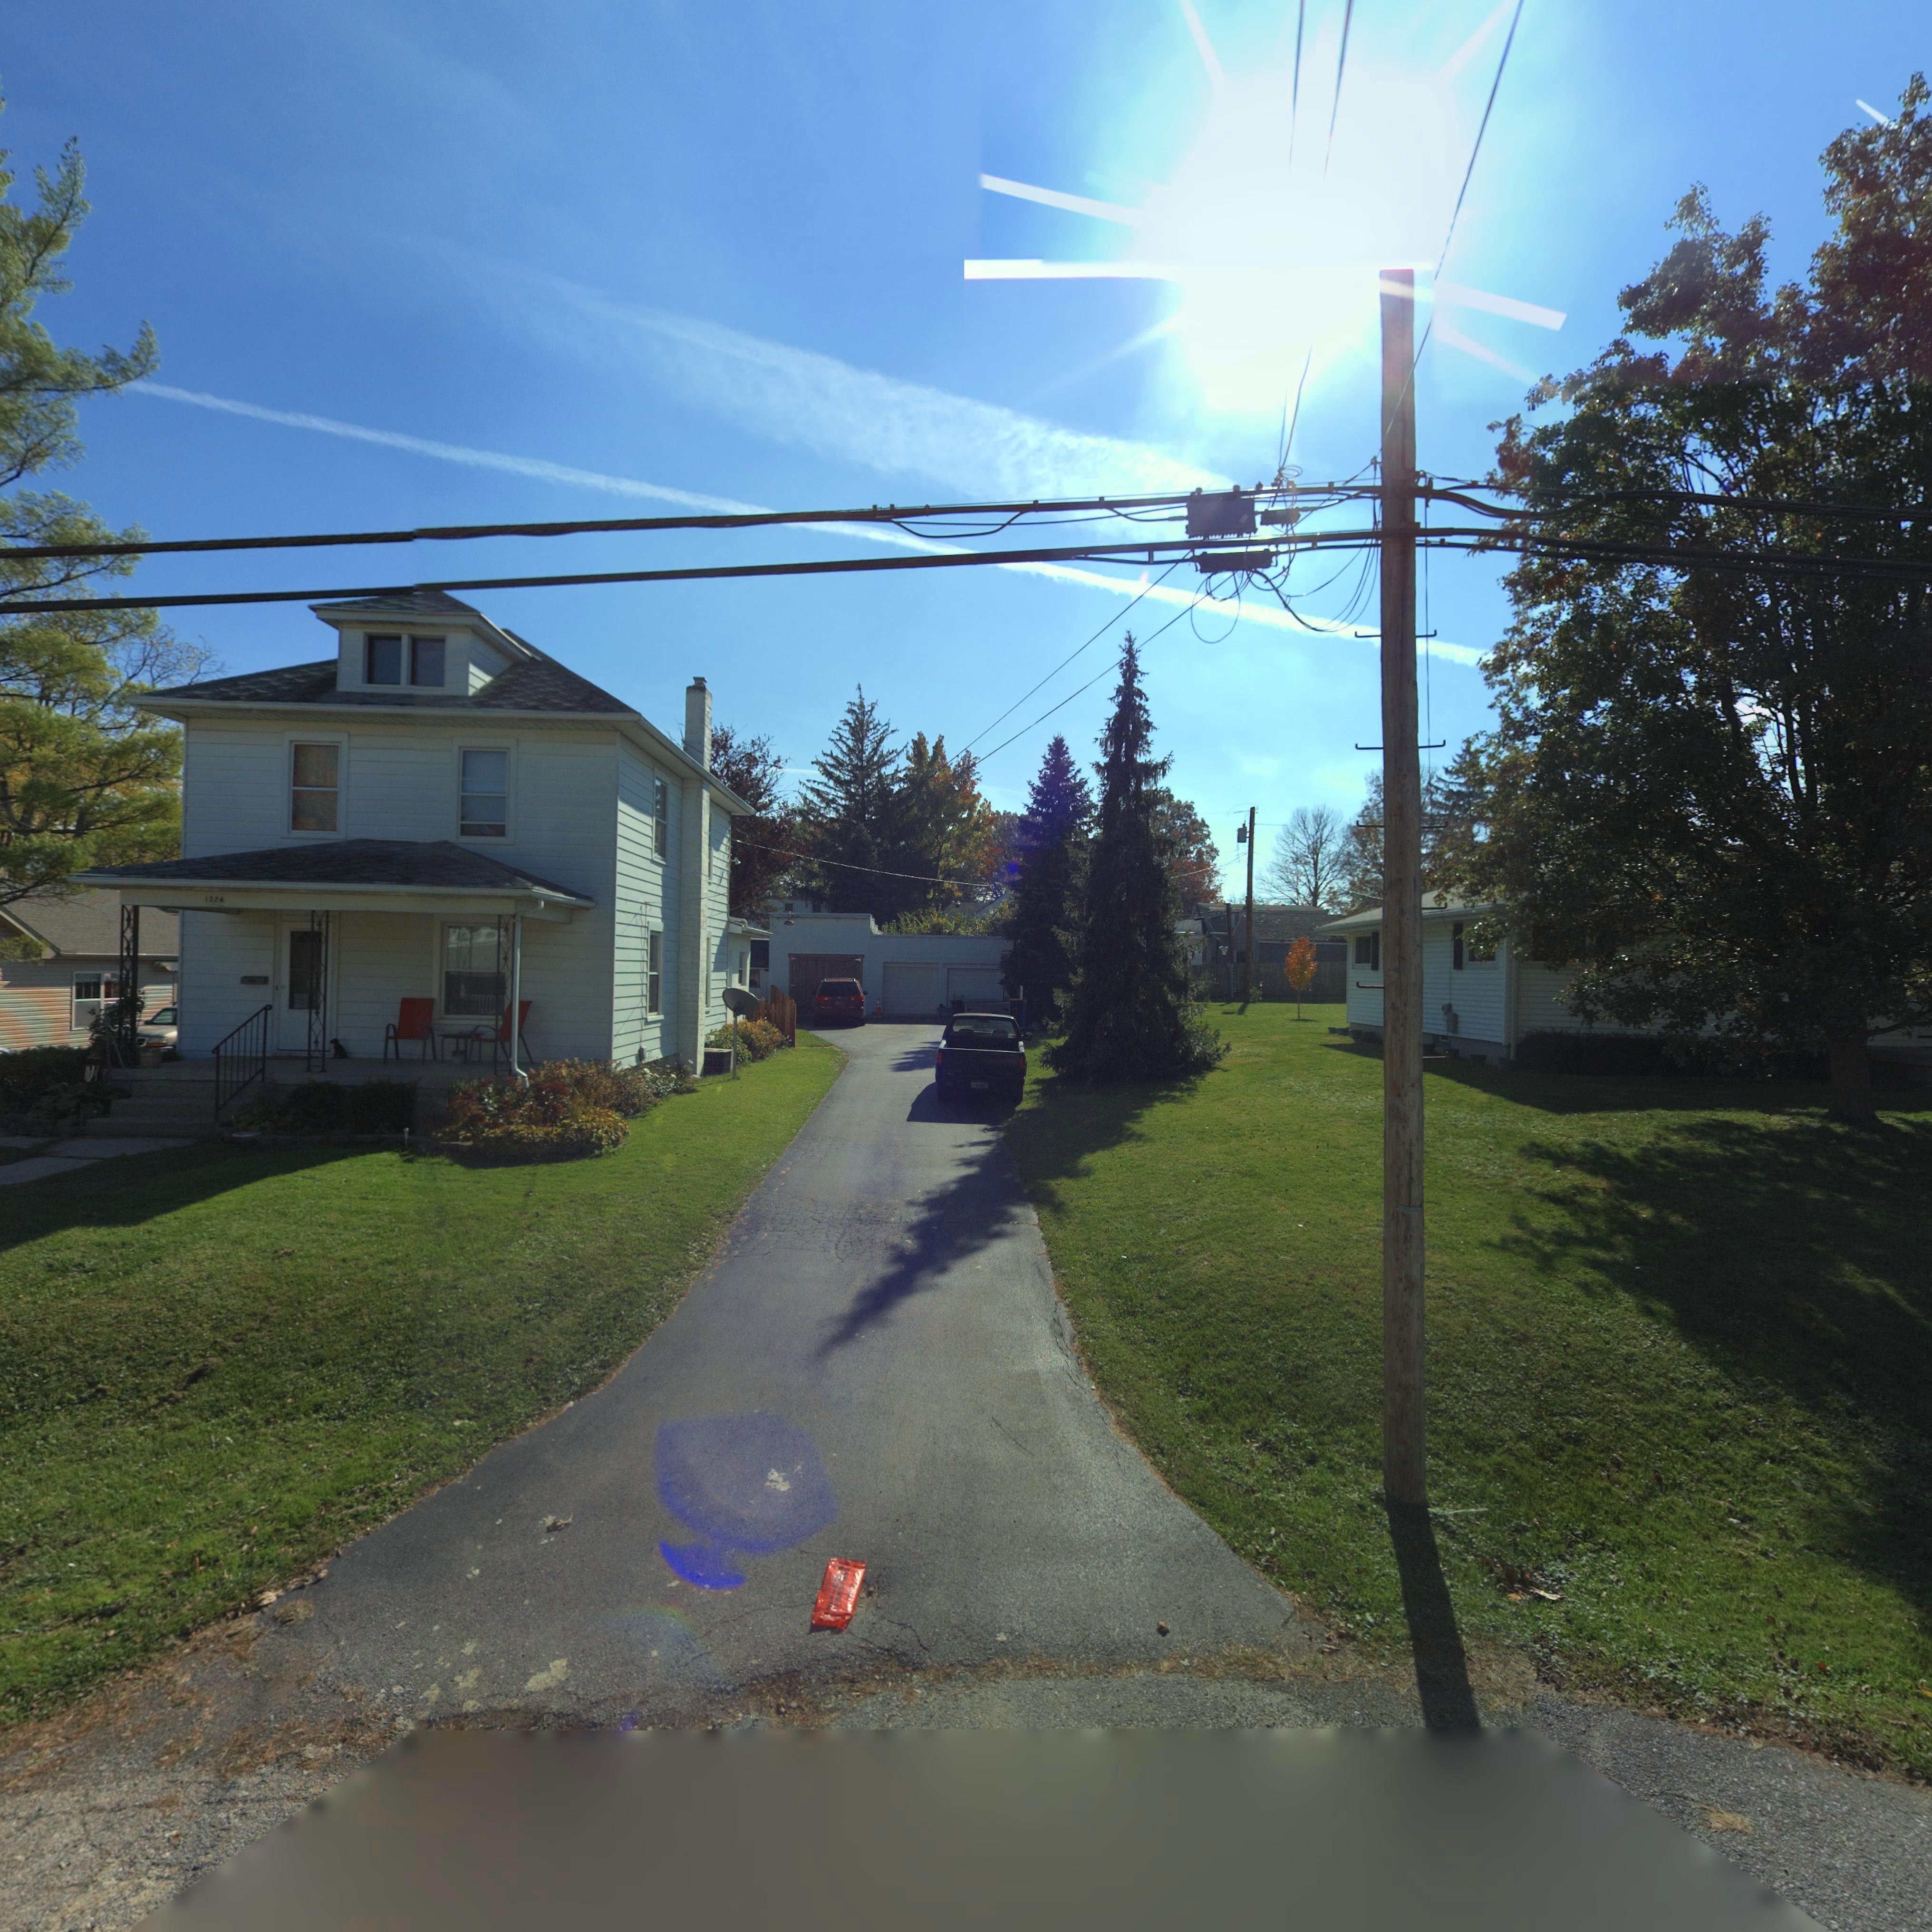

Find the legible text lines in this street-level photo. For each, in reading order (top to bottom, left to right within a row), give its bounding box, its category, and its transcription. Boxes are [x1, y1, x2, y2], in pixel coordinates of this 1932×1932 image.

[204, 895, 224, 903] StreetNumber: 1224